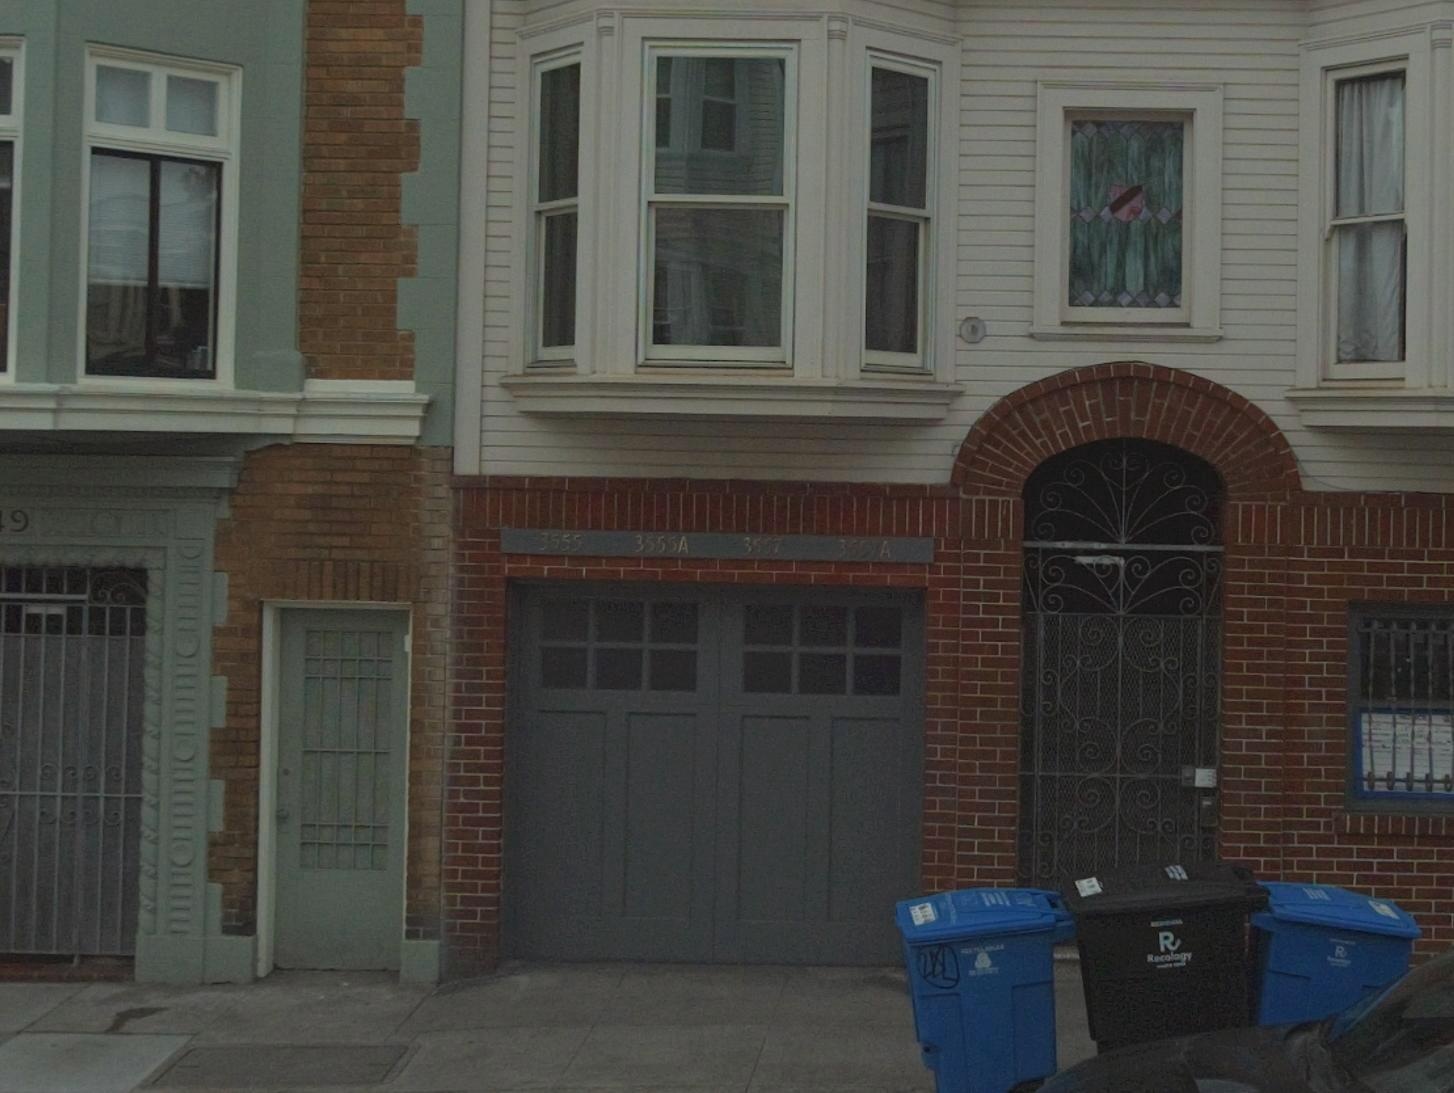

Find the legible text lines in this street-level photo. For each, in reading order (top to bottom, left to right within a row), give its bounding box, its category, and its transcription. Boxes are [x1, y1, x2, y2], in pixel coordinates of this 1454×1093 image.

[9, 509, 29, 533] StreetNumber: 9
[538, 531, 583, 554] StreetNumber: 3555
[634, 533, 690, 555] StreetNumber: 3555A
[740, 535, 786, 558] StreetNumber: 3557
[837, 538, 893, 560] StreetNumber: 3557A
[1157, 931, 1178, 953] None: R
[1146, 951, 1193, 964] None: Recology